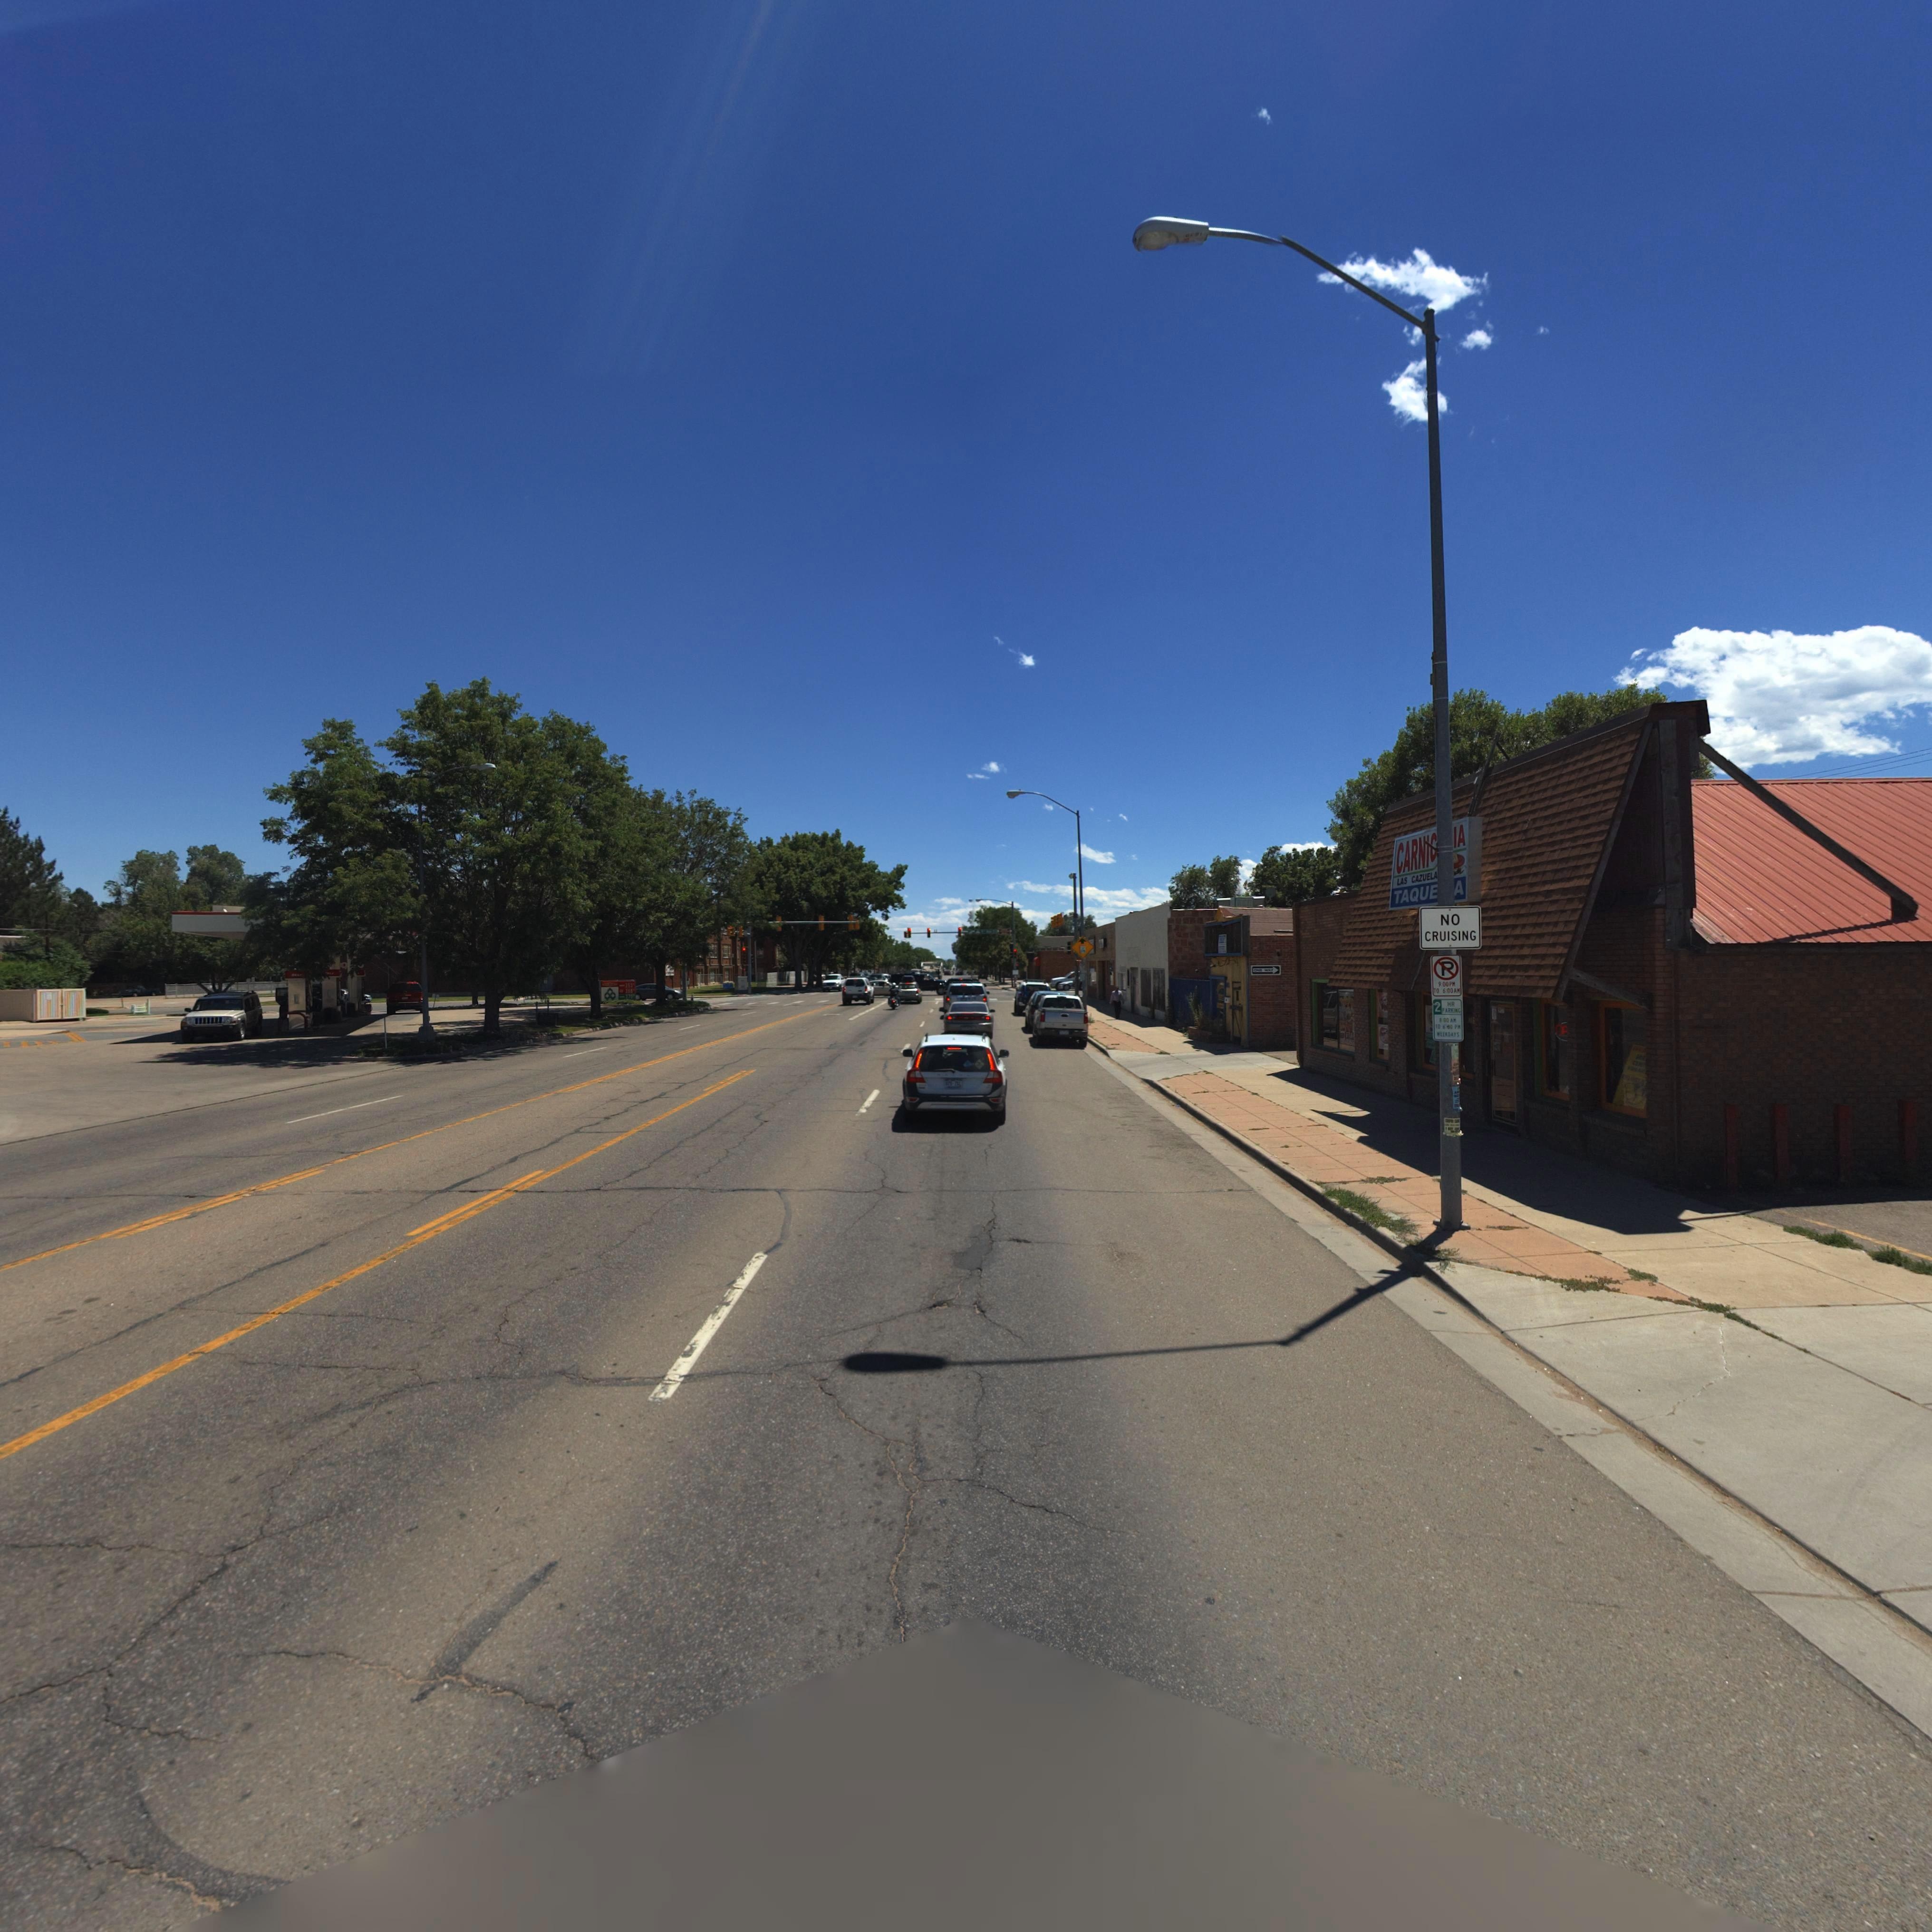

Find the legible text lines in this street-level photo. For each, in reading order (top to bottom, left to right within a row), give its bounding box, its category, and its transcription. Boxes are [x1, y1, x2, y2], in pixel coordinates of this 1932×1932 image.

[1396, 870, 1438, 886] BusinessName: LAS CAZUELA
[1393, 879, 1465, 904] BusinessName: TAQUE*A
[981, 929, 992, 933] StreetName: *** A**